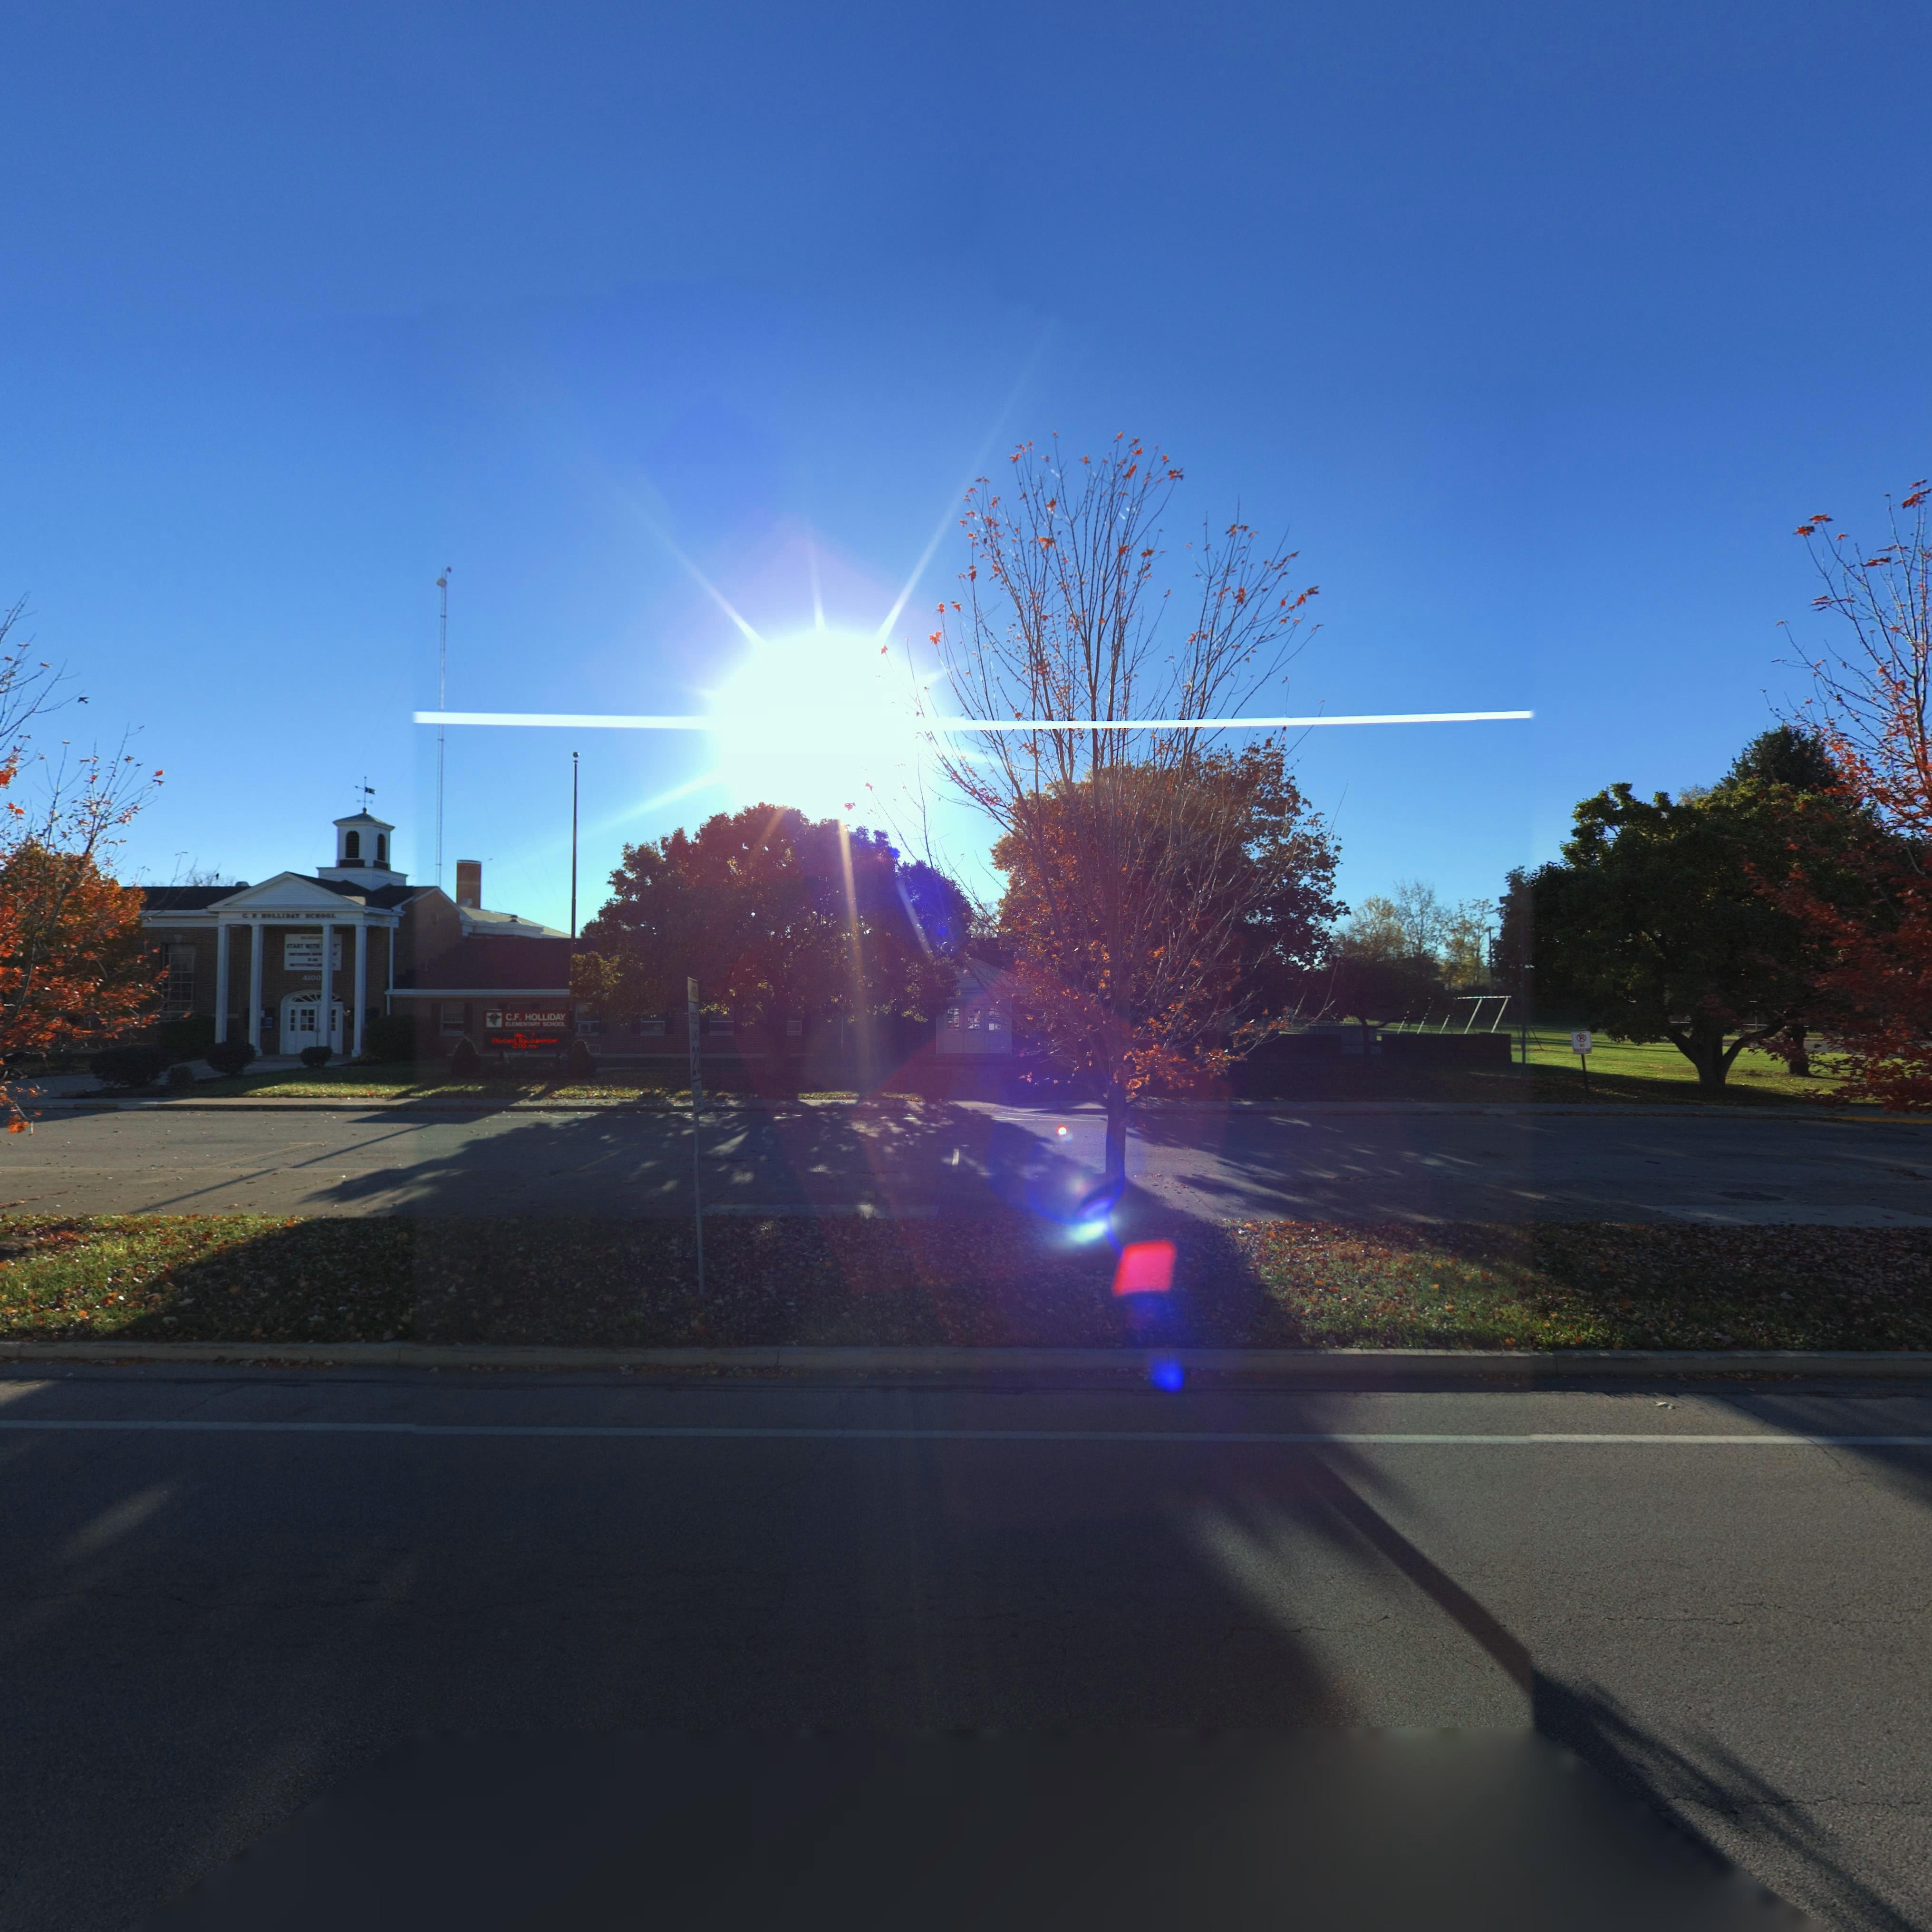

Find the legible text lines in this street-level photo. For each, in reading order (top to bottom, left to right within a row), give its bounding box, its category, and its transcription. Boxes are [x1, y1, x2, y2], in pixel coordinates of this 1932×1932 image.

[302, 975, 322, 981] StreetNumber: 4100